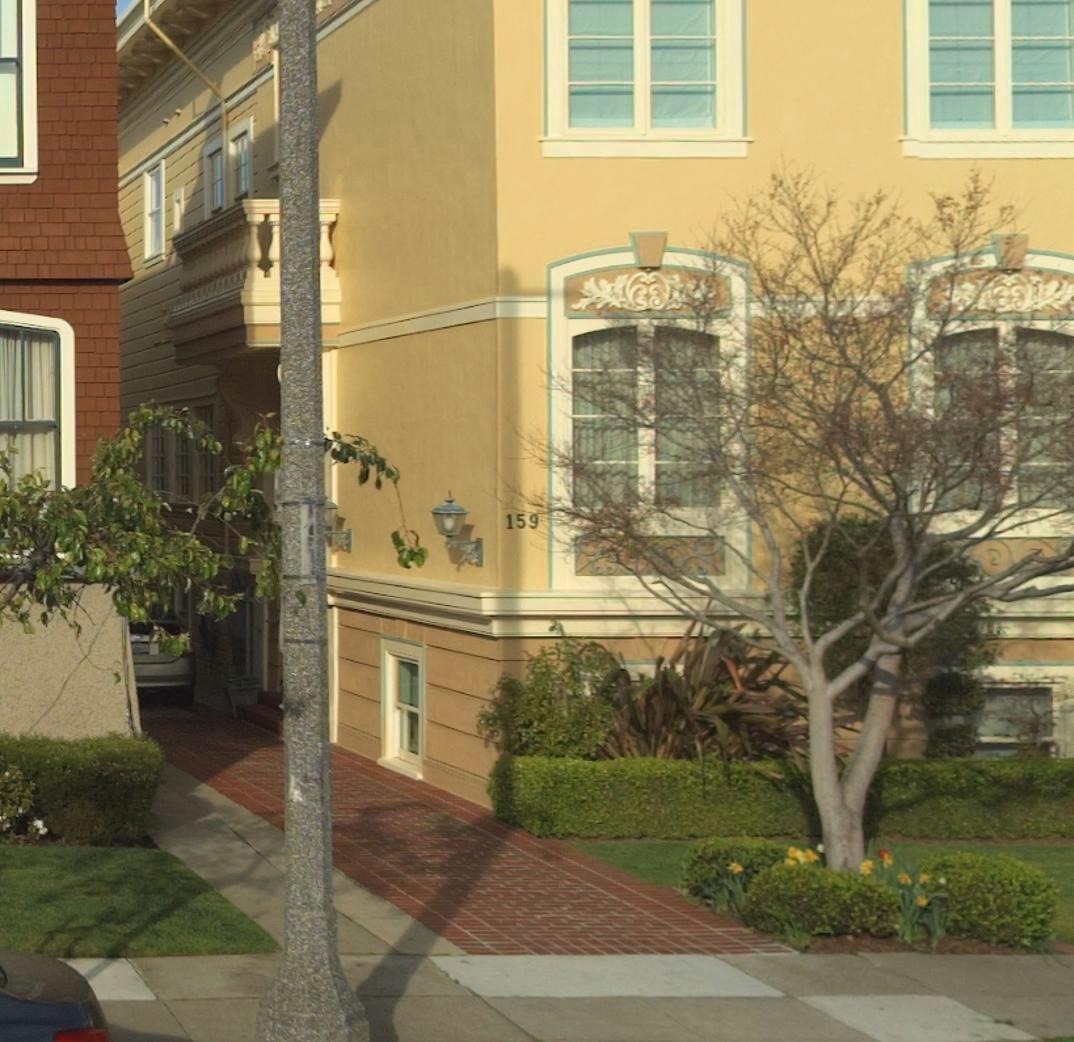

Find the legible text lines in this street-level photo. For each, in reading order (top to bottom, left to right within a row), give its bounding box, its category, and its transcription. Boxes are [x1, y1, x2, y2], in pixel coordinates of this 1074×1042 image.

[504, 511, 540, 532] StreetNumber: 159